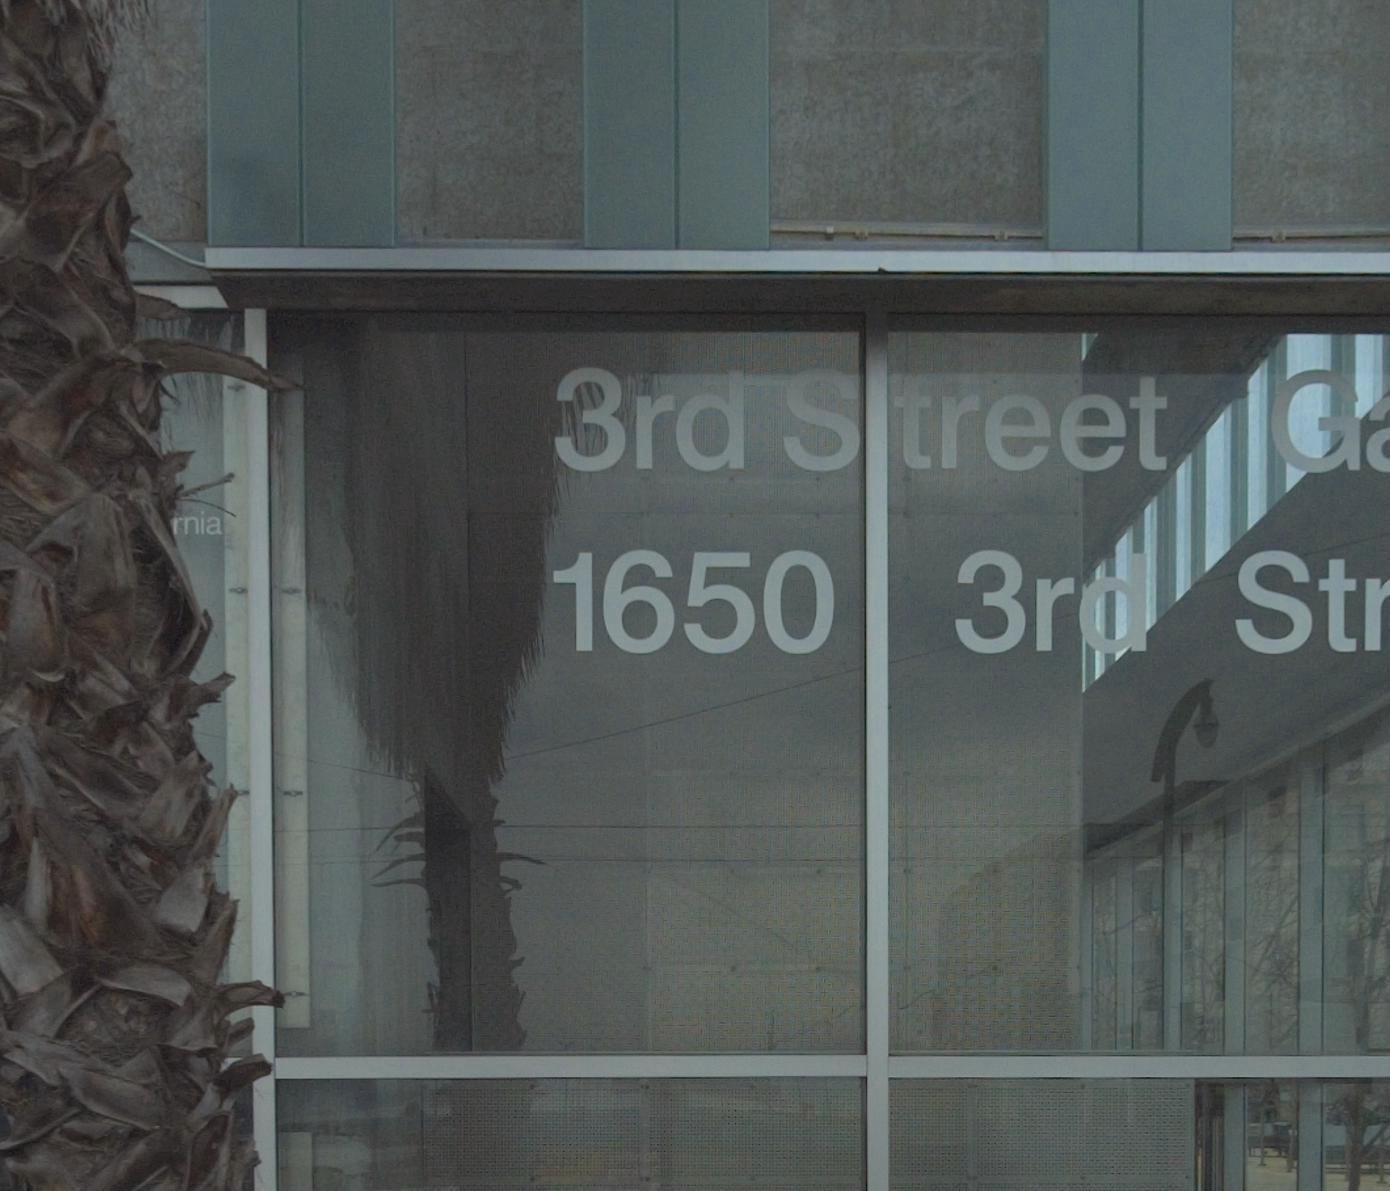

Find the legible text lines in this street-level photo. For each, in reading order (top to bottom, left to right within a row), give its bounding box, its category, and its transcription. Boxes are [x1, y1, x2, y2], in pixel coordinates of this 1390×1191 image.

[549, 361, 1367, 480] BusinessName: 3rd Street G
[169, 509, 224, 538] None: rnia
[549, 546, 838, 658] StreetNumber: 1650
[950, 547, 1360, 658] StreetName: 3rd St